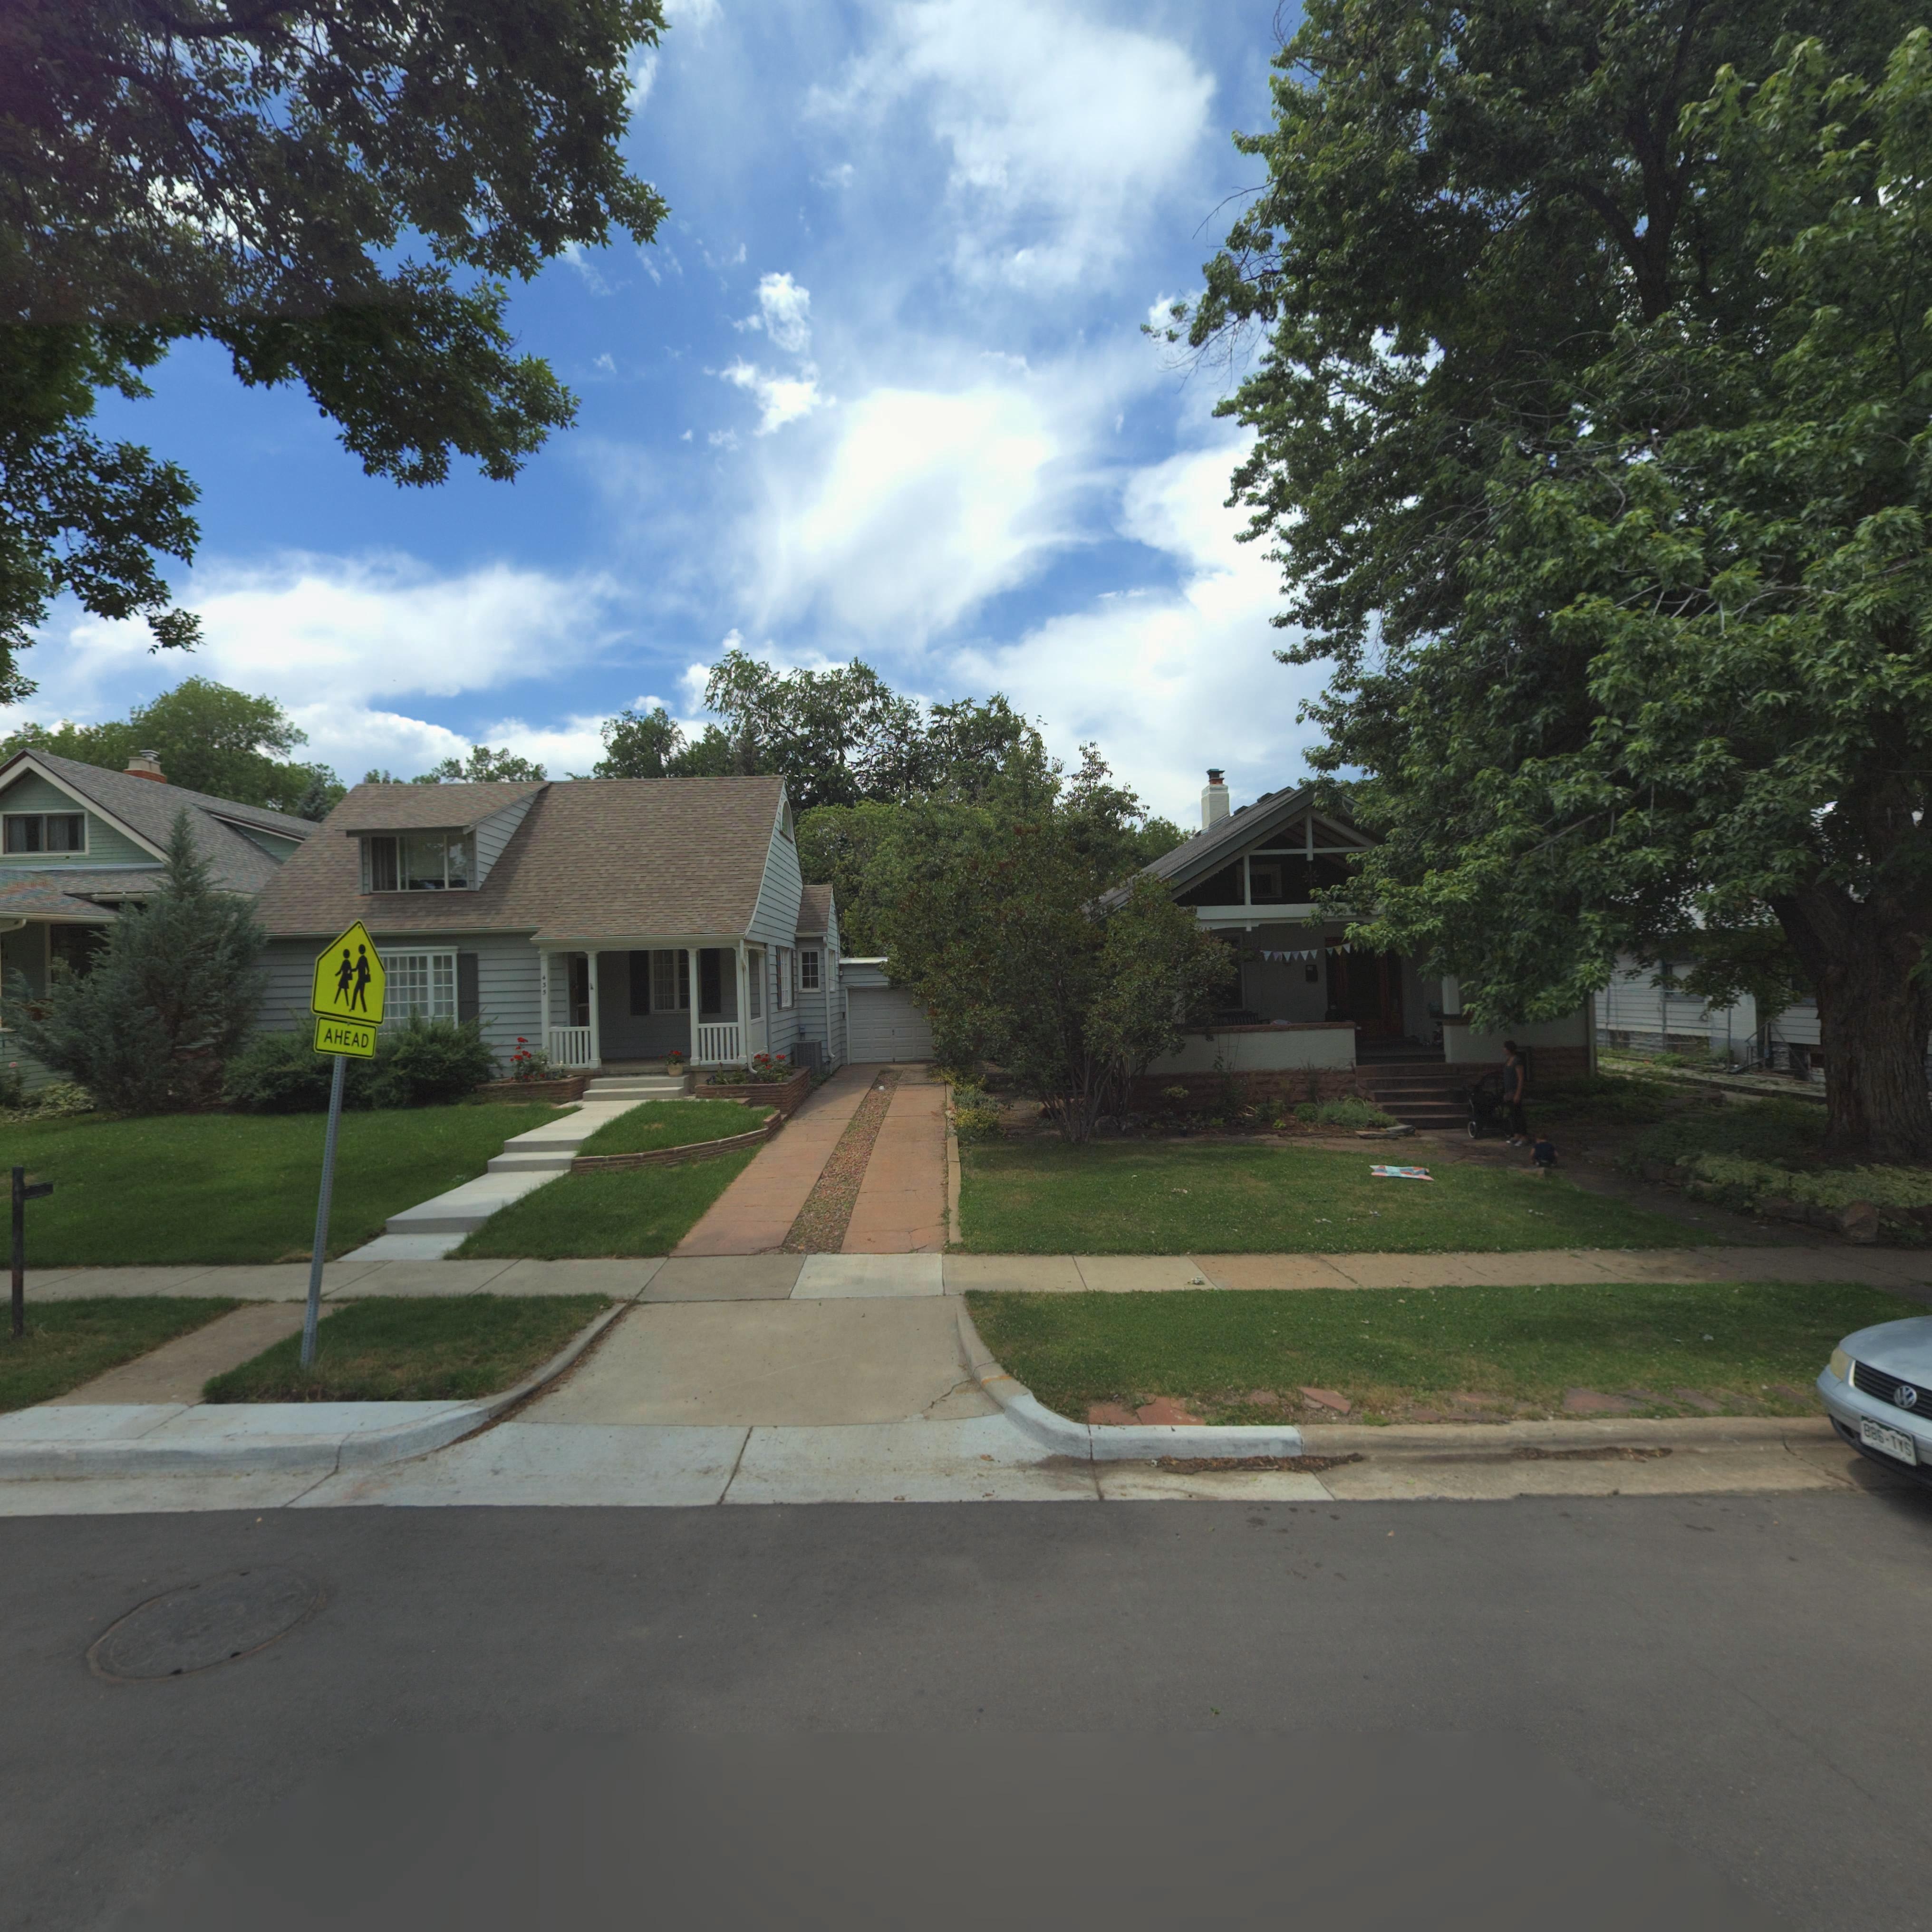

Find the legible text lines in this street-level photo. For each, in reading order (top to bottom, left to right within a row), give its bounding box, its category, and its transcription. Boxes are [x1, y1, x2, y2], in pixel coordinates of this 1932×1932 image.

[541, 975, 547, 995] StreetNumber: 435